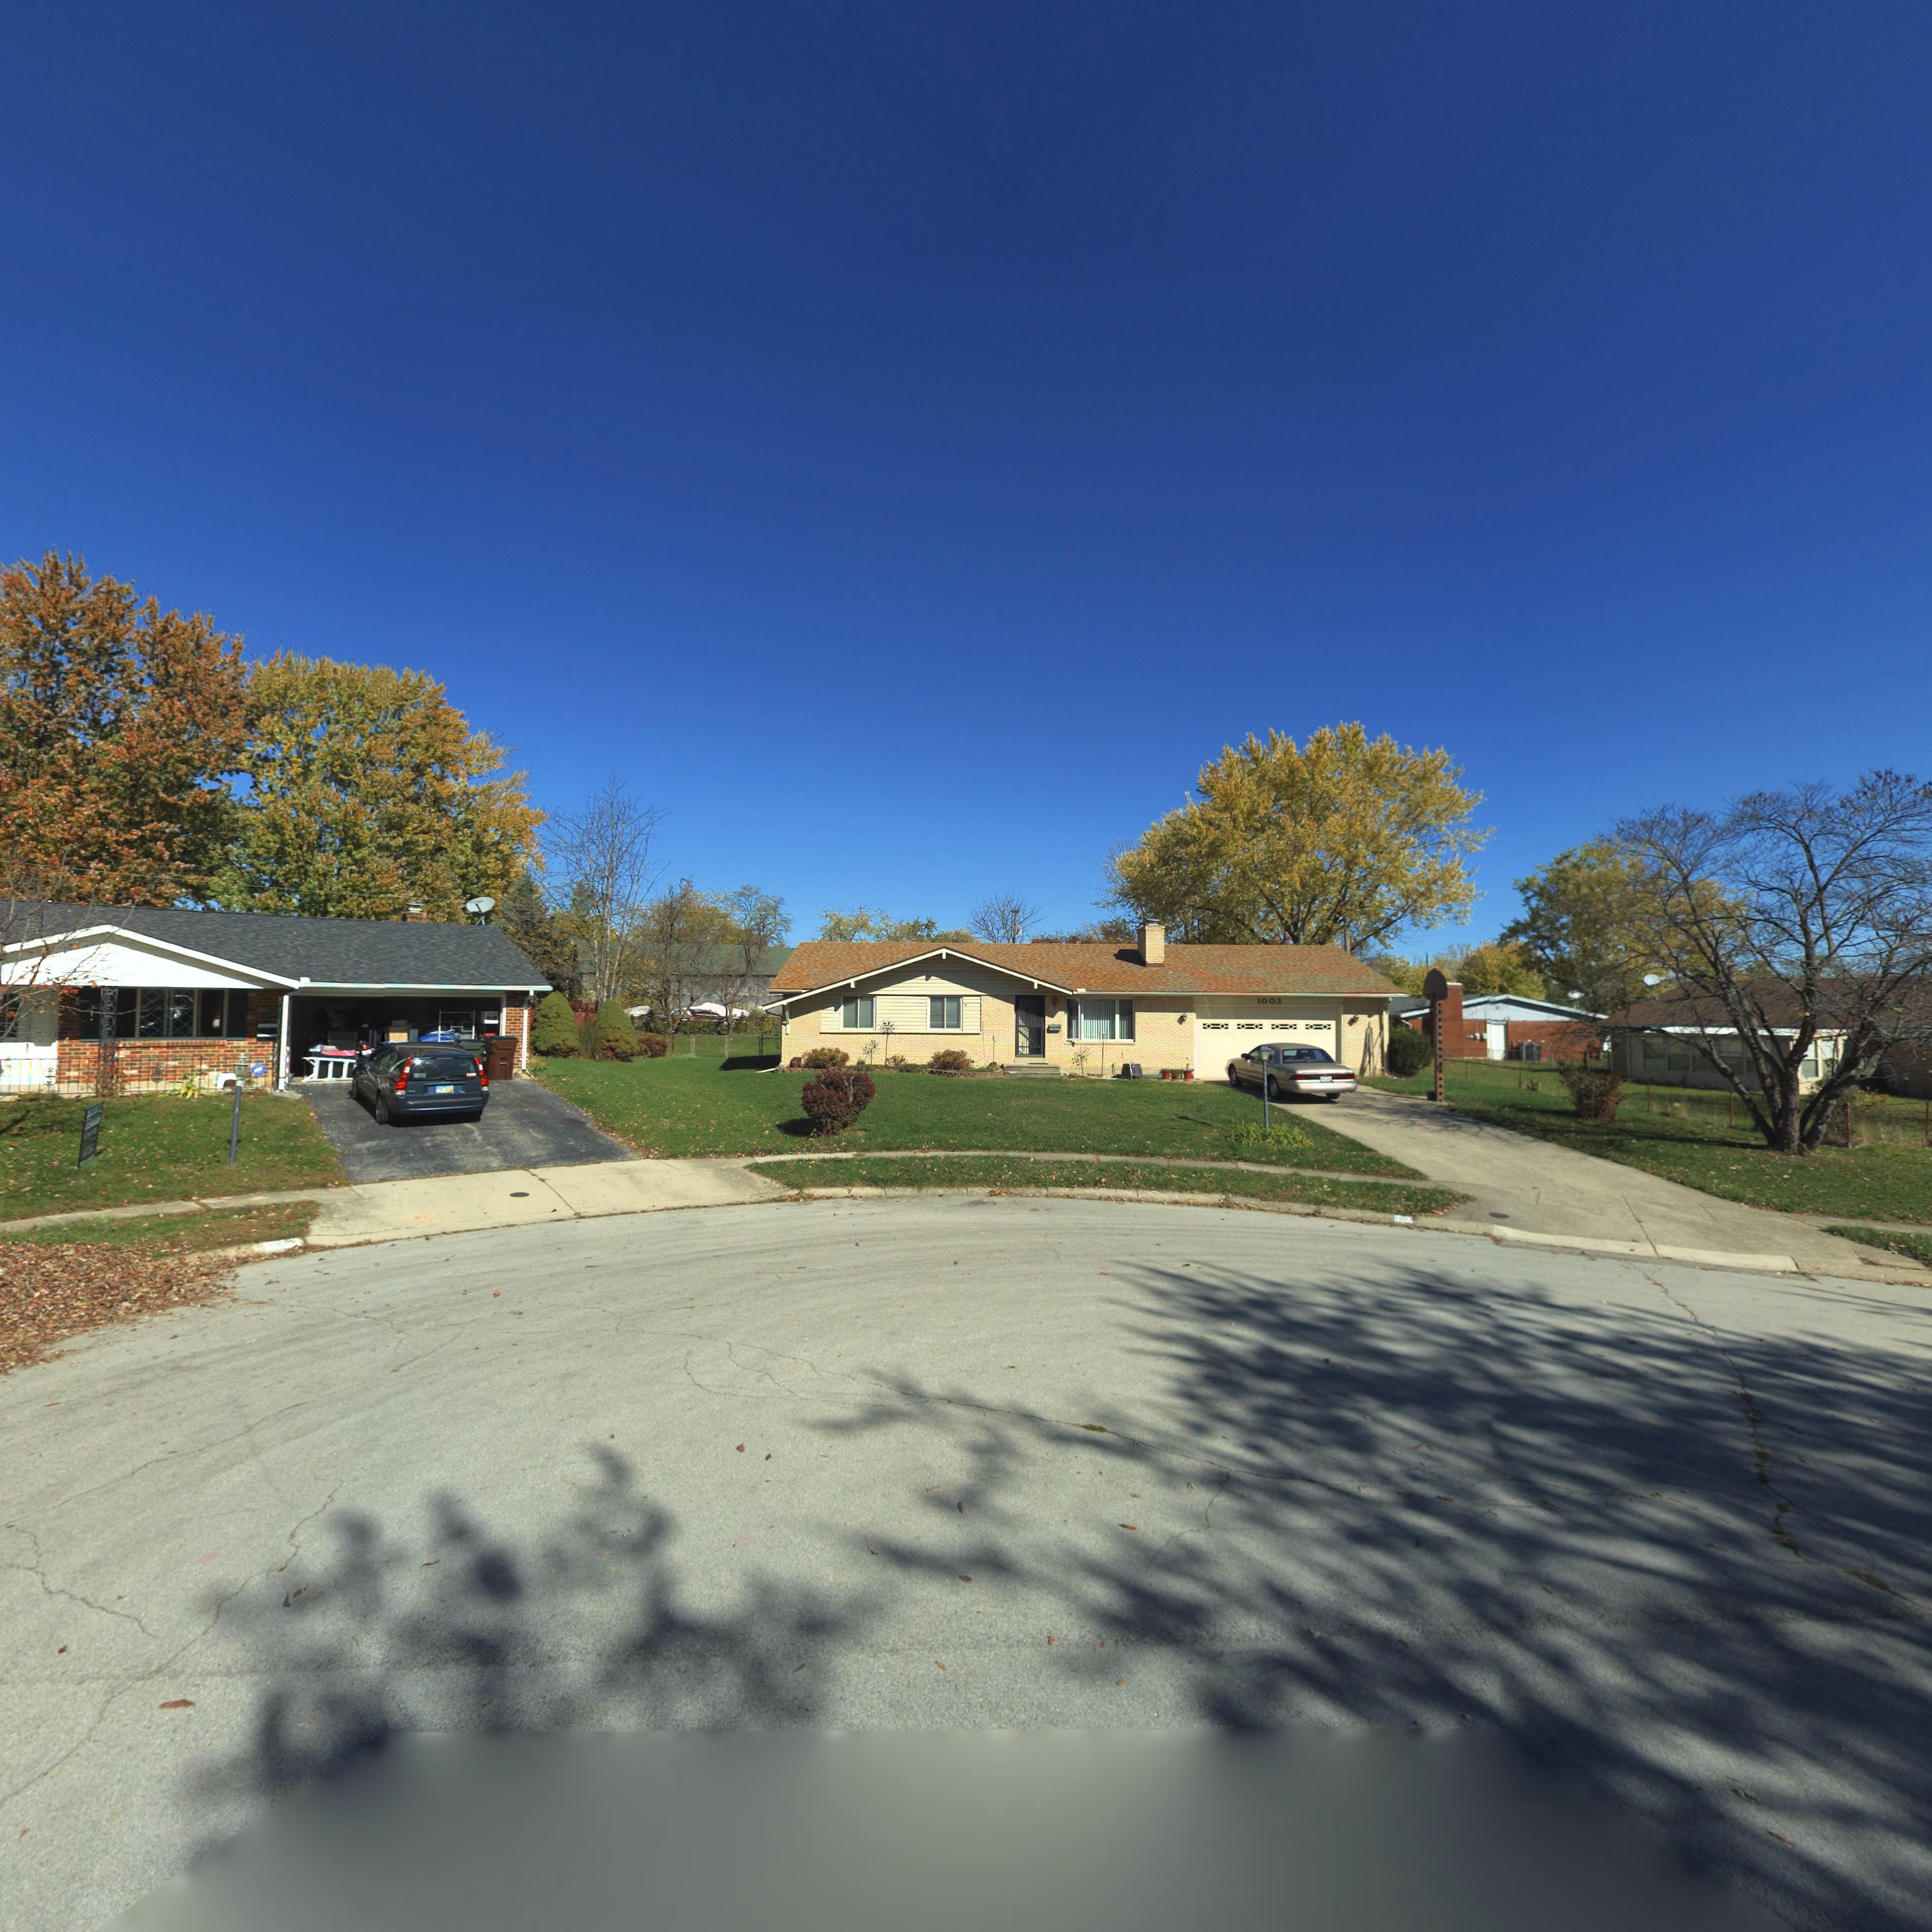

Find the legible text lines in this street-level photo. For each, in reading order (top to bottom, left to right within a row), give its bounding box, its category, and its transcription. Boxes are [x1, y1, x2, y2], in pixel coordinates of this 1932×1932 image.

[1257, 997, 1281, 1005] StreetNumber: 1003
[1395, 1216, 1413, 1222] StreetNumber: 100*
[267, 1239, 290, 1247] StreetNumber: 100